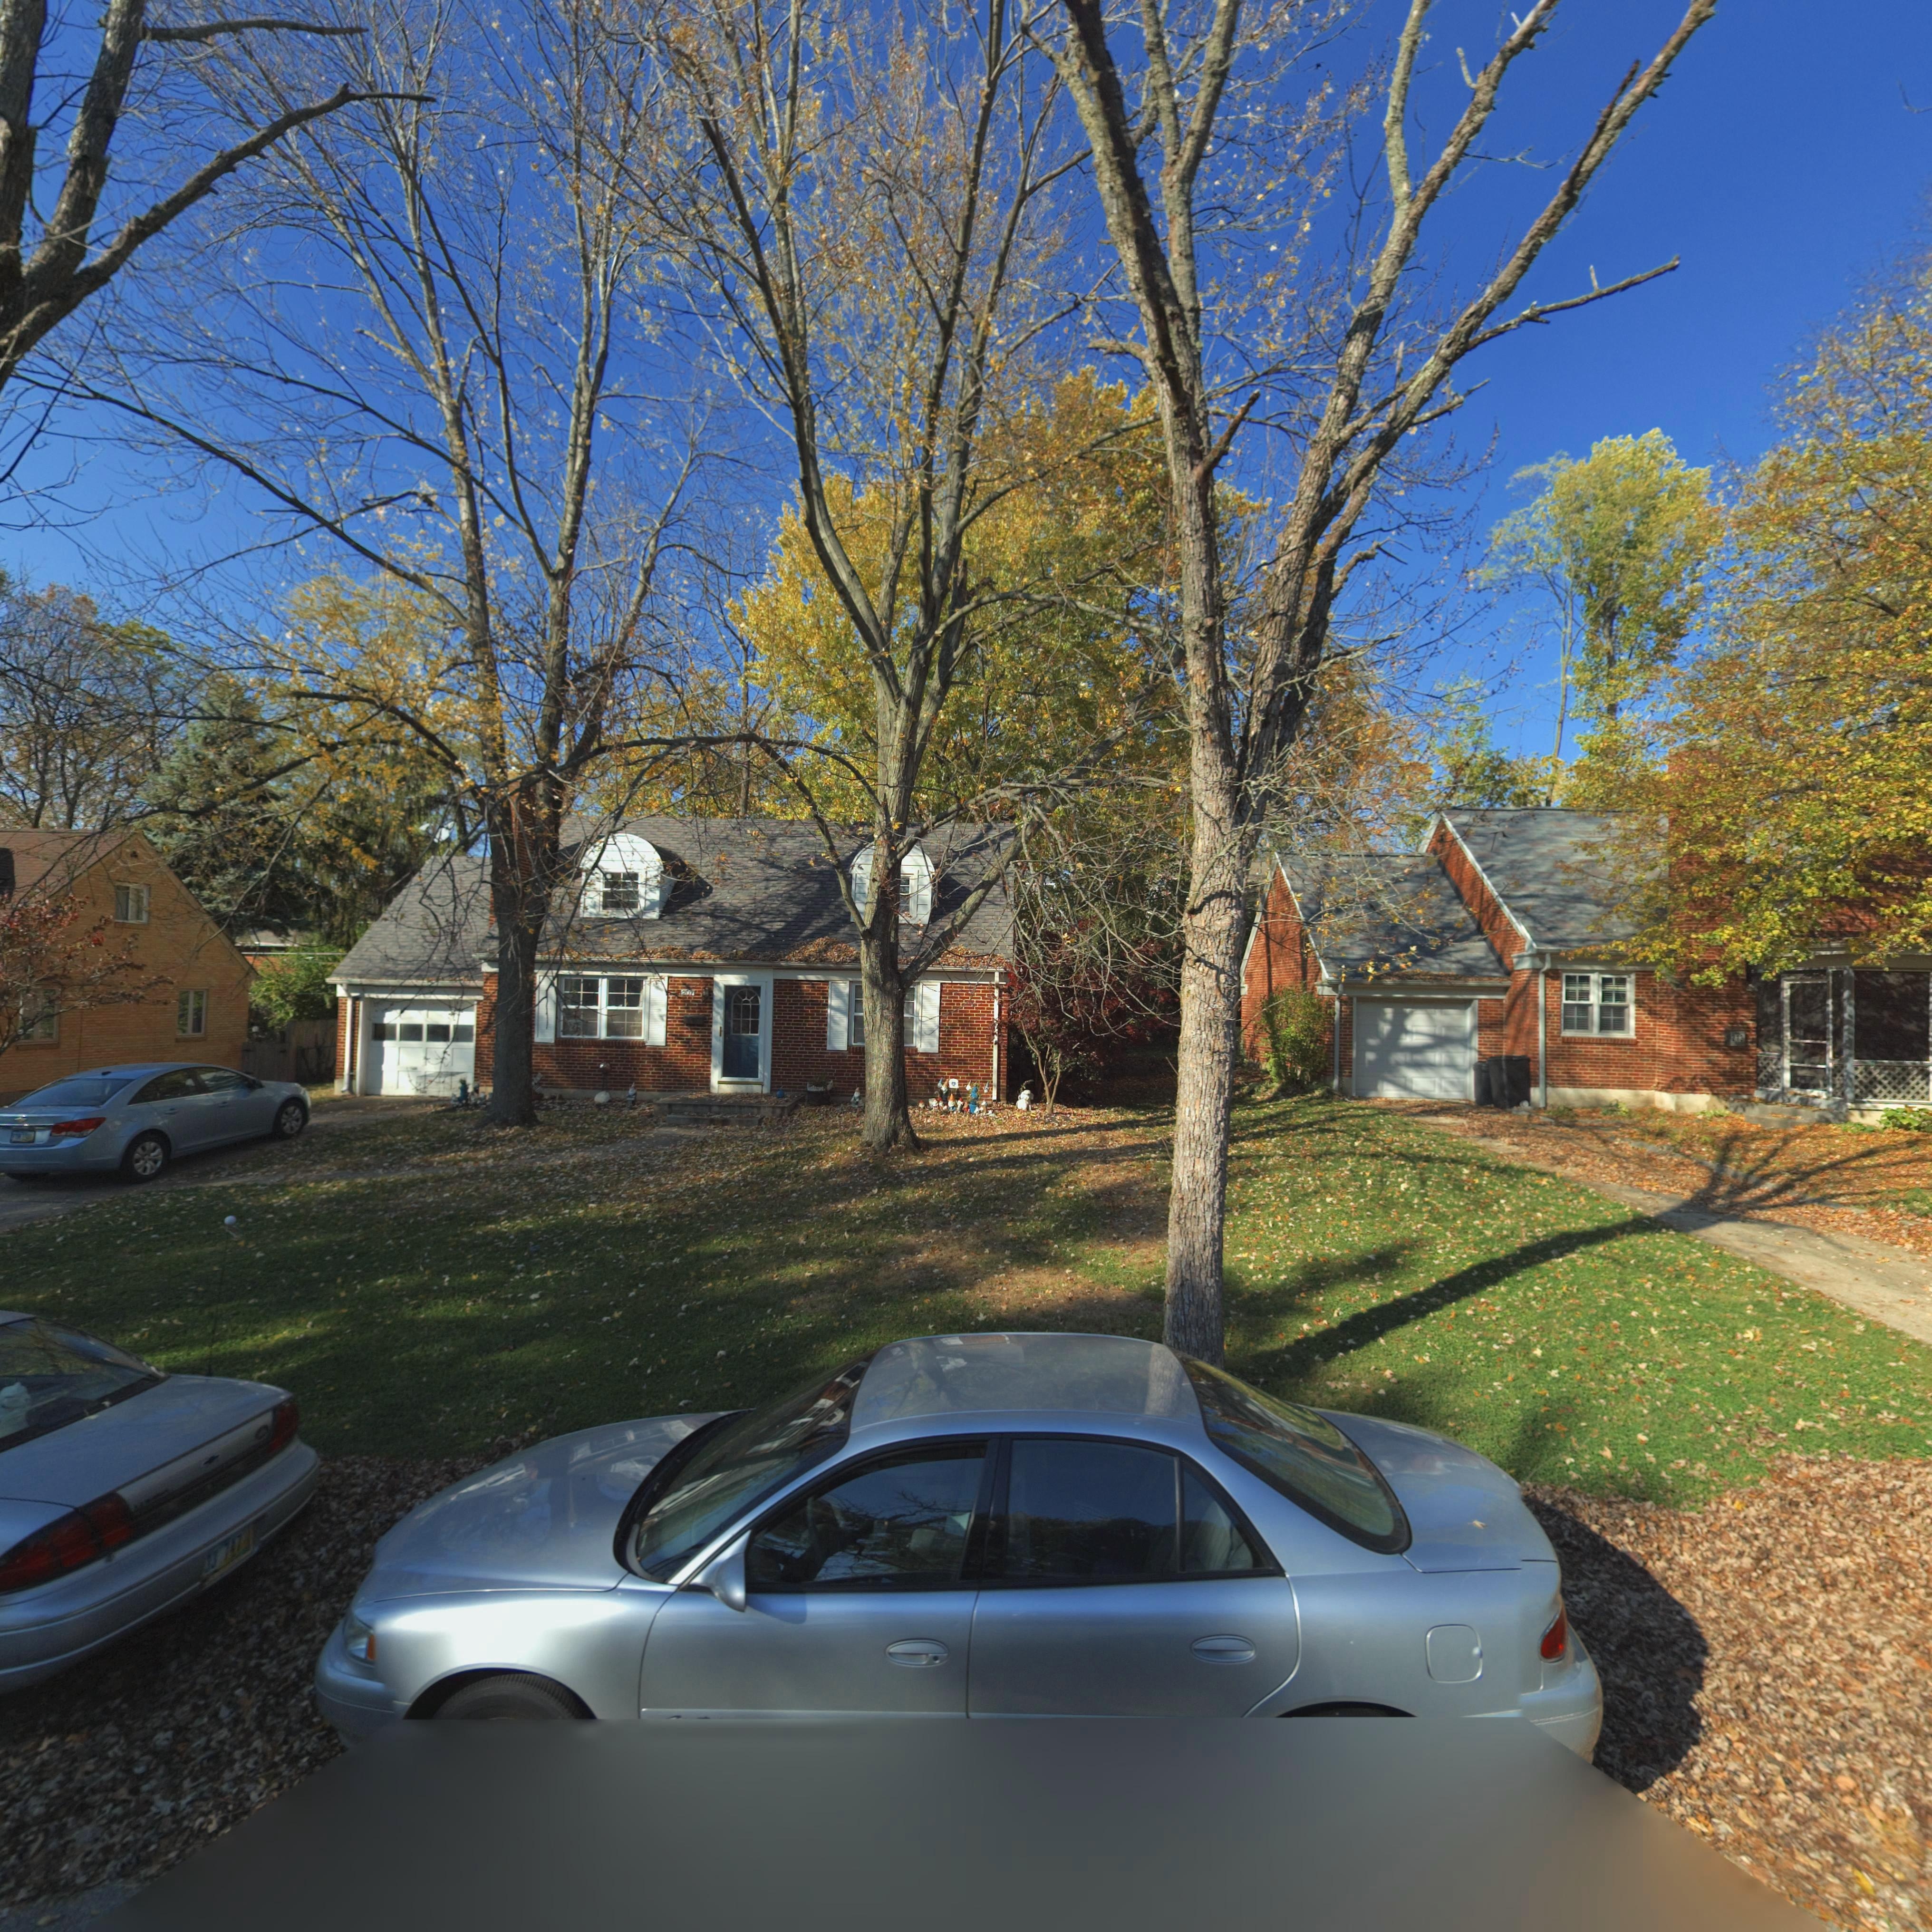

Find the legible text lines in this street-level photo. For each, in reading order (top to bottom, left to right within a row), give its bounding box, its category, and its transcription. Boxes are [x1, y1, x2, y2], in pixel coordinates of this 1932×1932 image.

[681, 989, 695, 996] StreetNumber: 20*